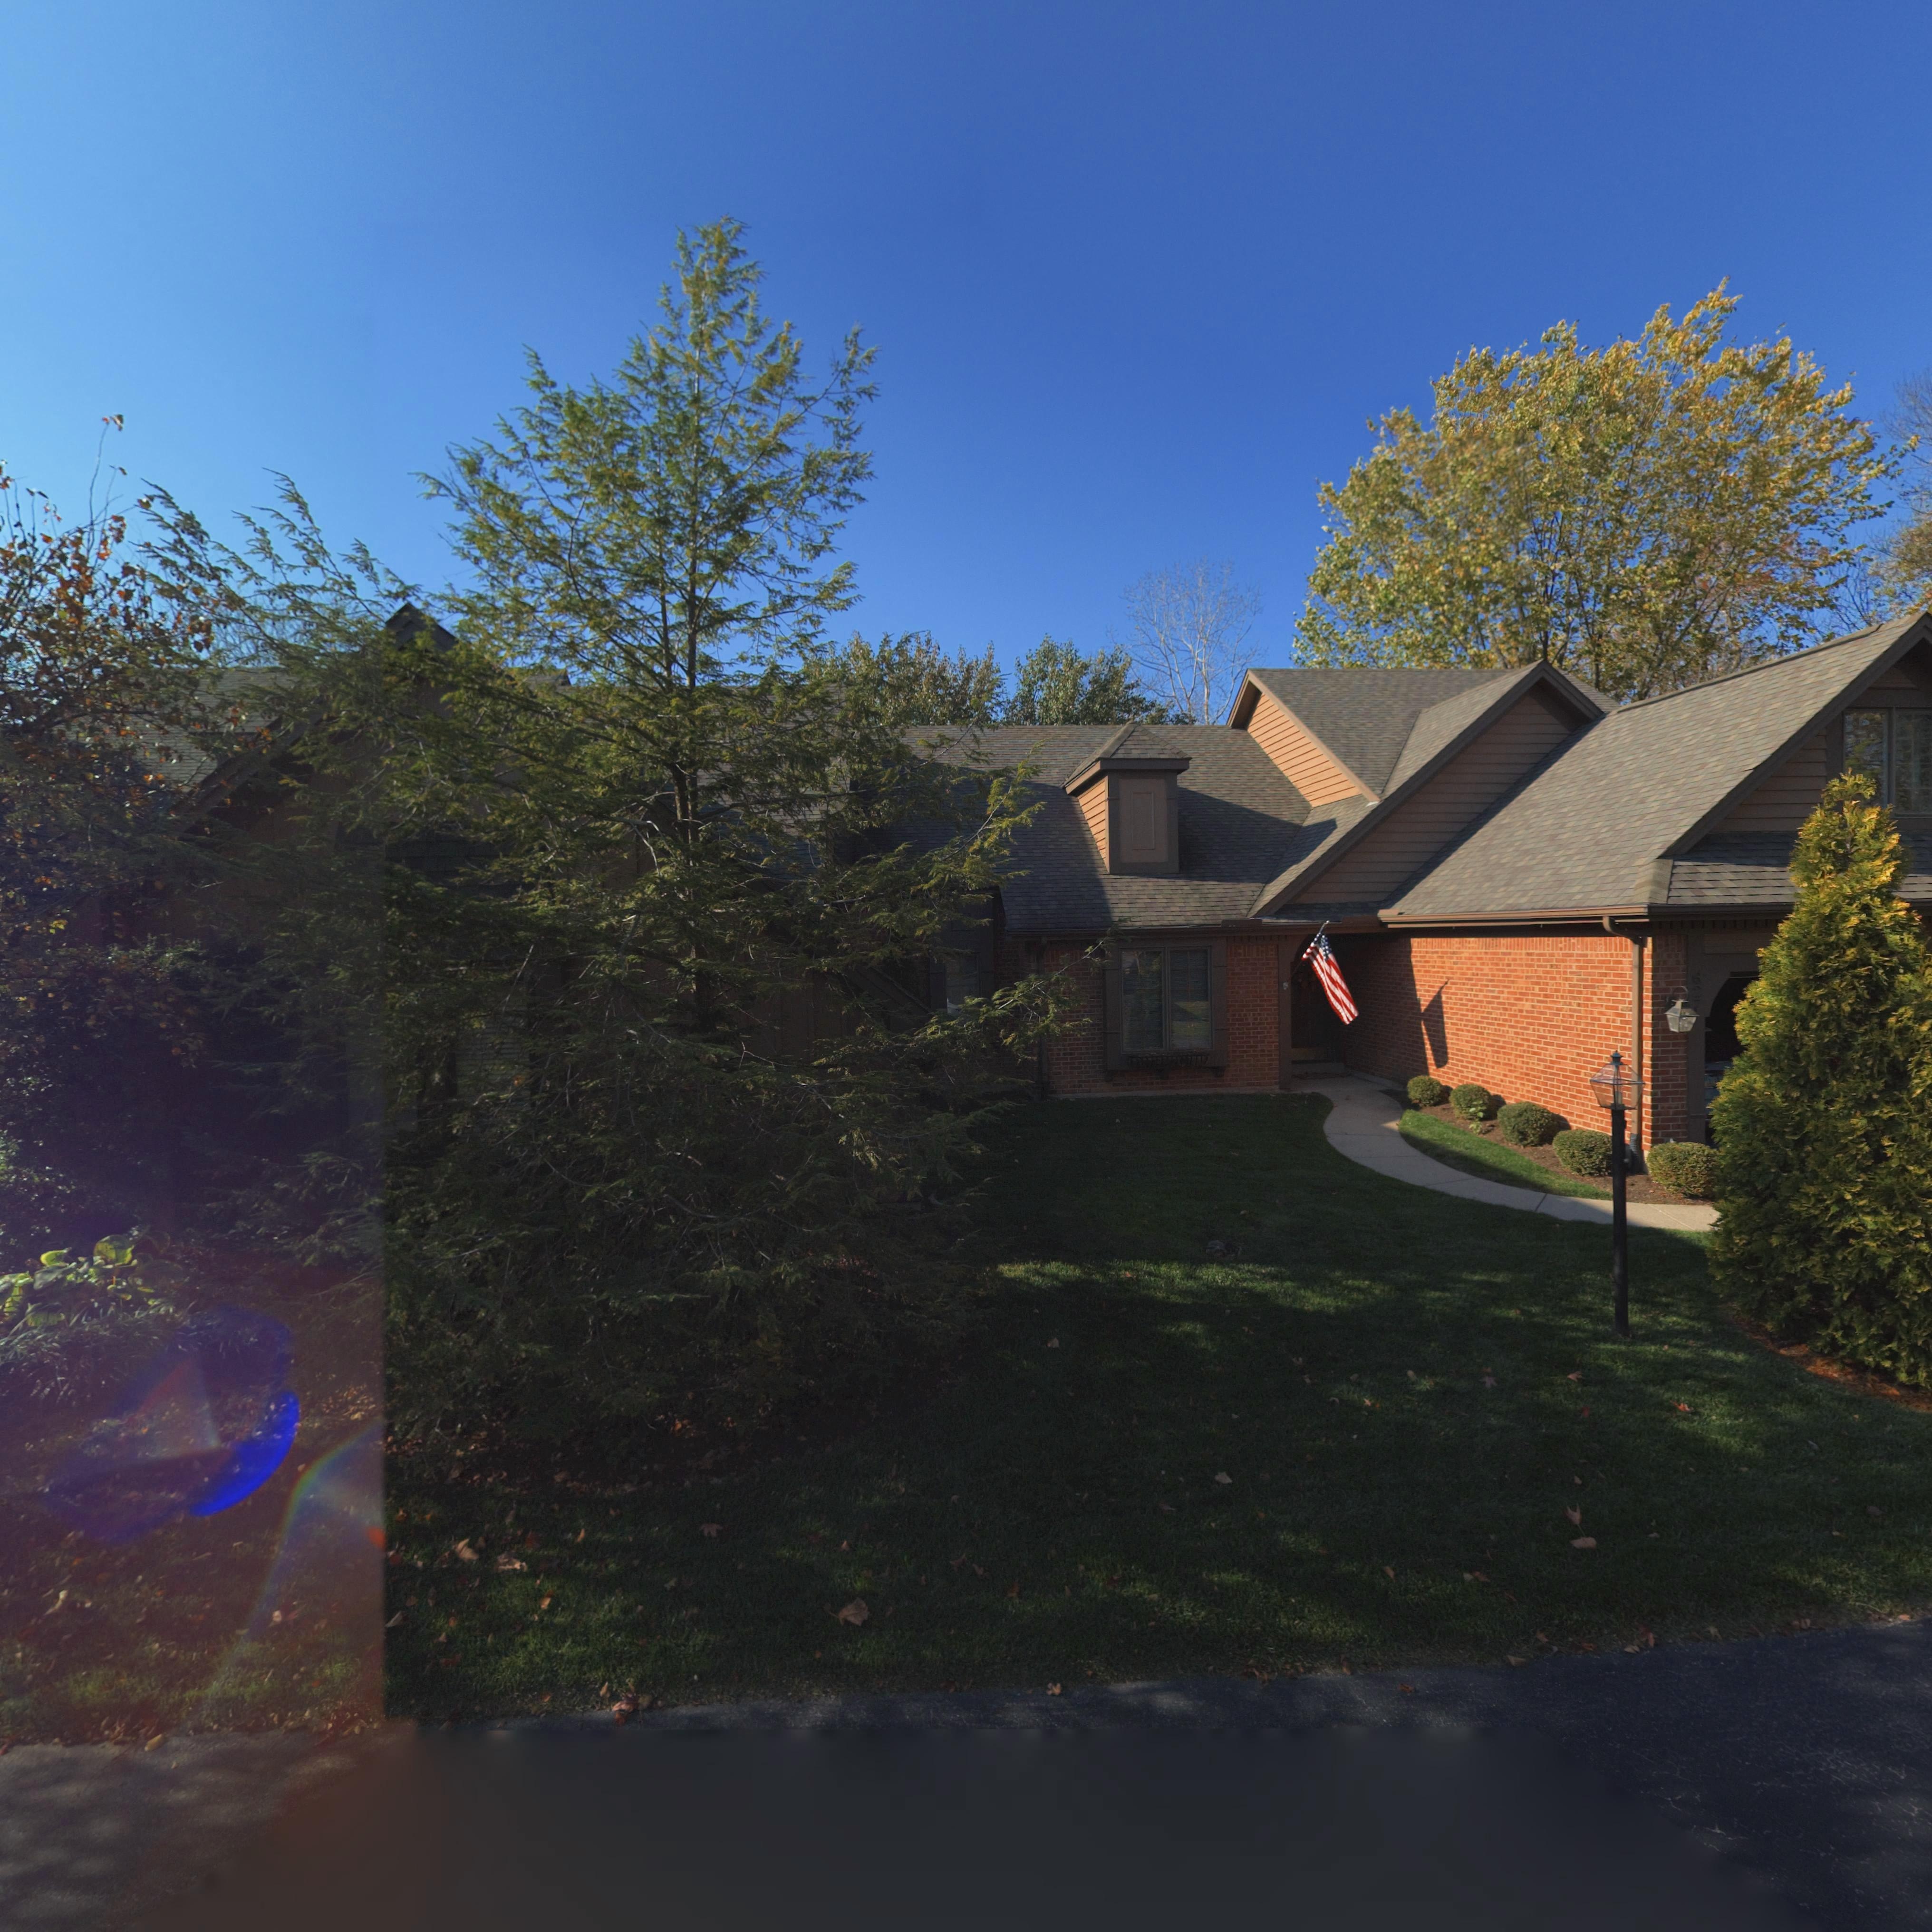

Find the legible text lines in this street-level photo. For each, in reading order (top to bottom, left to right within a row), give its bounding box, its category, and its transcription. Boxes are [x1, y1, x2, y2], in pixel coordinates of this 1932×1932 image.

[1690, 971, 1703, 1013] StreetNumber: 627